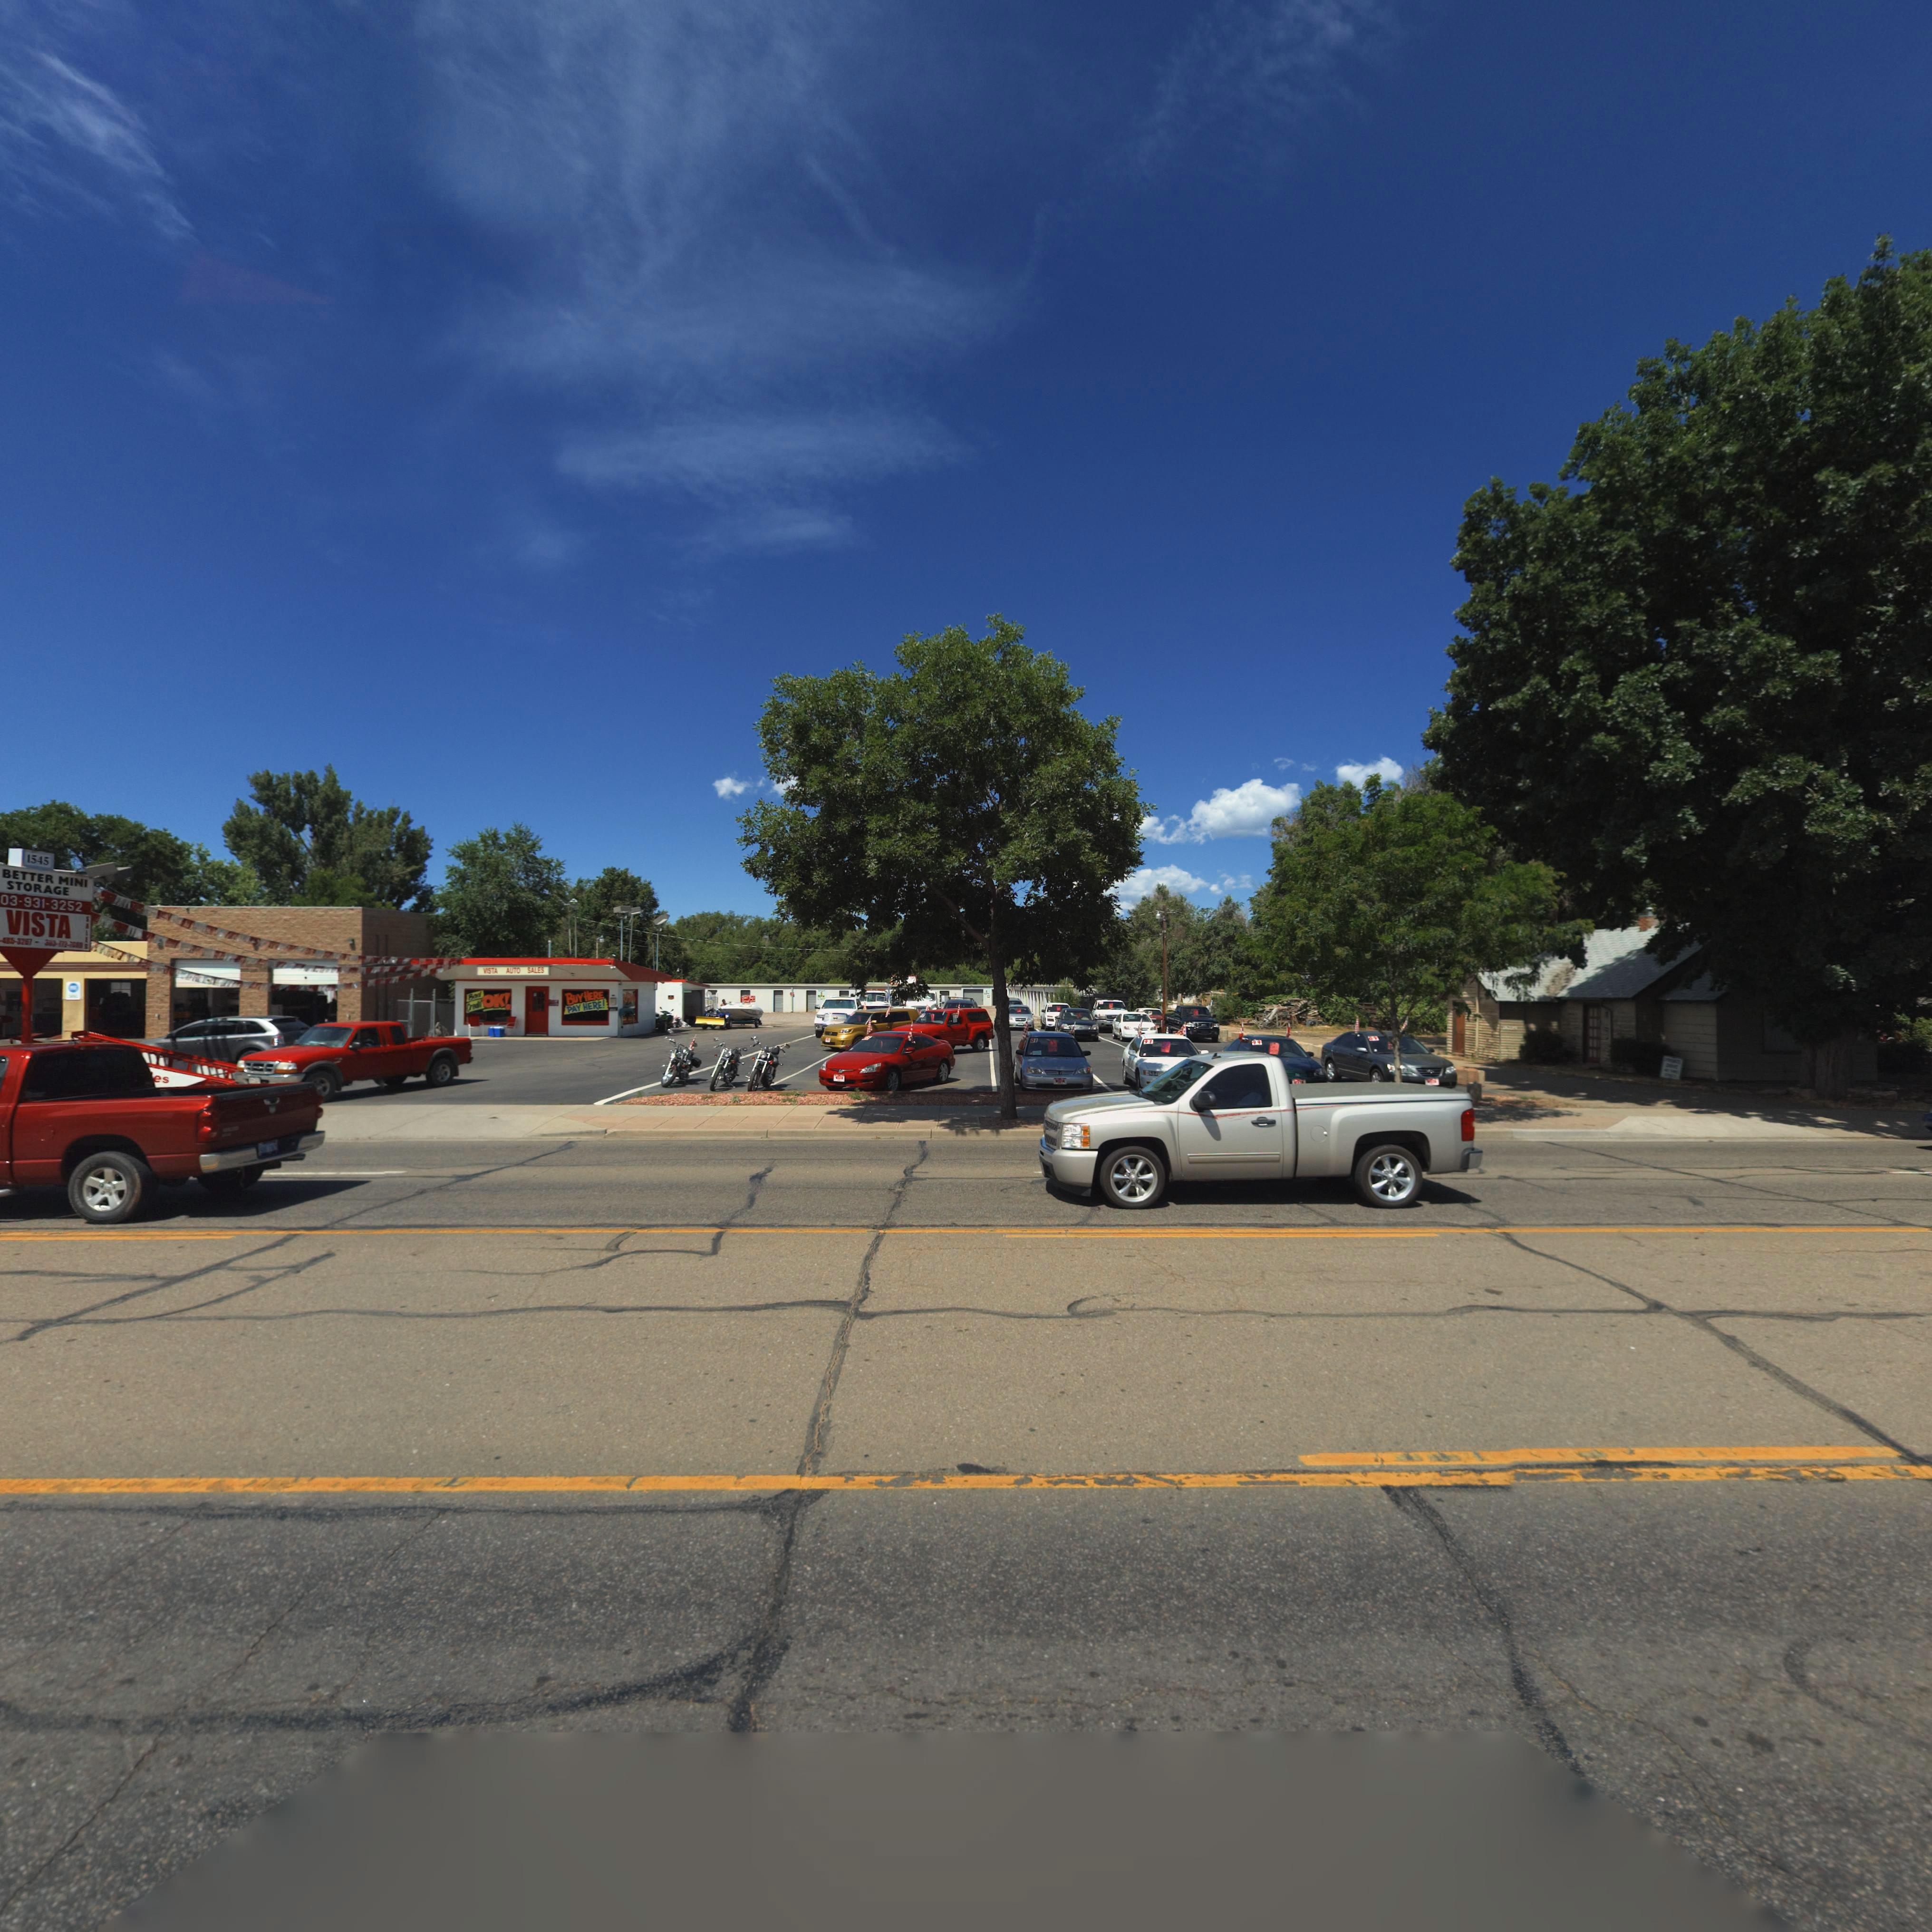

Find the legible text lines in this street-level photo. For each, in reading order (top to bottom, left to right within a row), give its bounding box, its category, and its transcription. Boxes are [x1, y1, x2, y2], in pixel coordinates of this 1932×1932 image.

[26, 854, 49, 866] StreetNumber: 1545
[6, 879, 69, 896] BusinessName: STORAGE
[1, 868, 88, 888] BusinessName: BETTER MINI
[5, 909, 72, 939] BusinessName: VISTA
[83, 915, 89, 949] BusinessName: S*LES
[483, 967, 544, 974] BusinessName: VISTA AUTO SALES